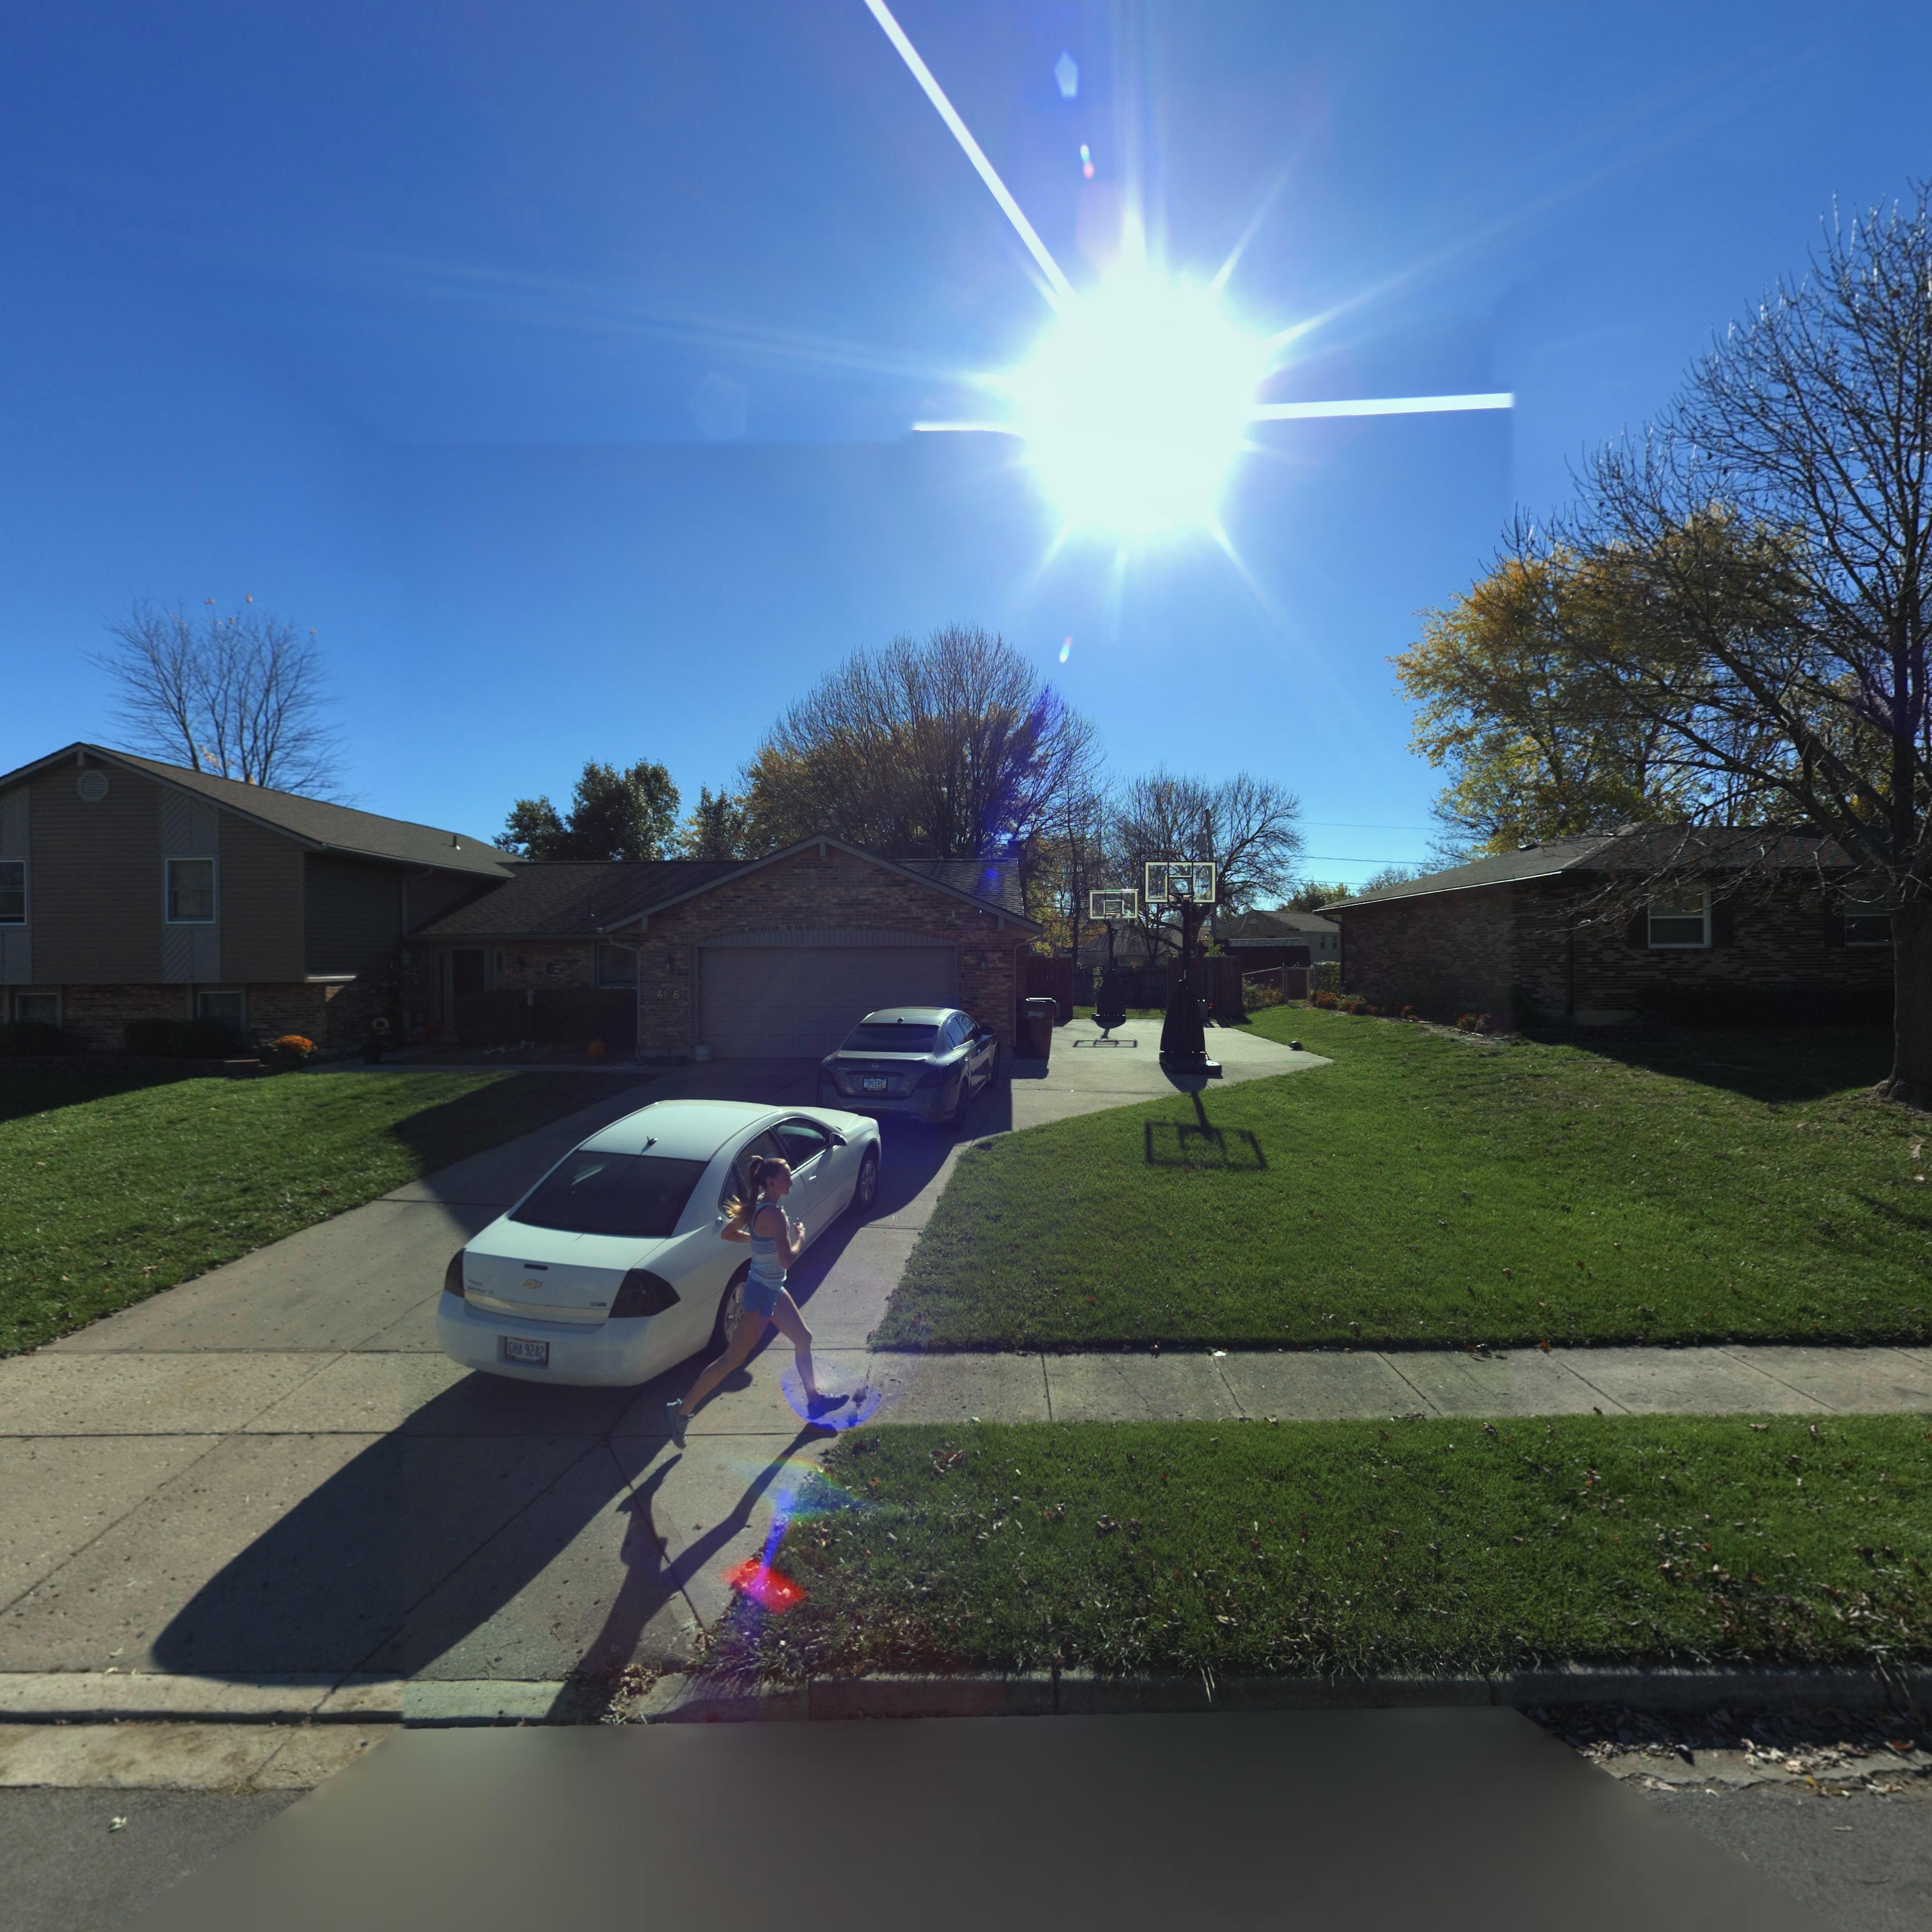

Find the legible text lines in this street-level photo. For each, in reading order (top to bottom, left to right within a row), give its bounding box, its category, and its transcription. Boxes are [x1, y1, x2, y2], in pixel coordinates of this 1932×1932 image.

[656, 989, 680, 1000] StreetNumber: 4176
[866, 1080, 884, 1088] None: JPEEPS
[507, 1341, 545, 1360] None: GHA*9242